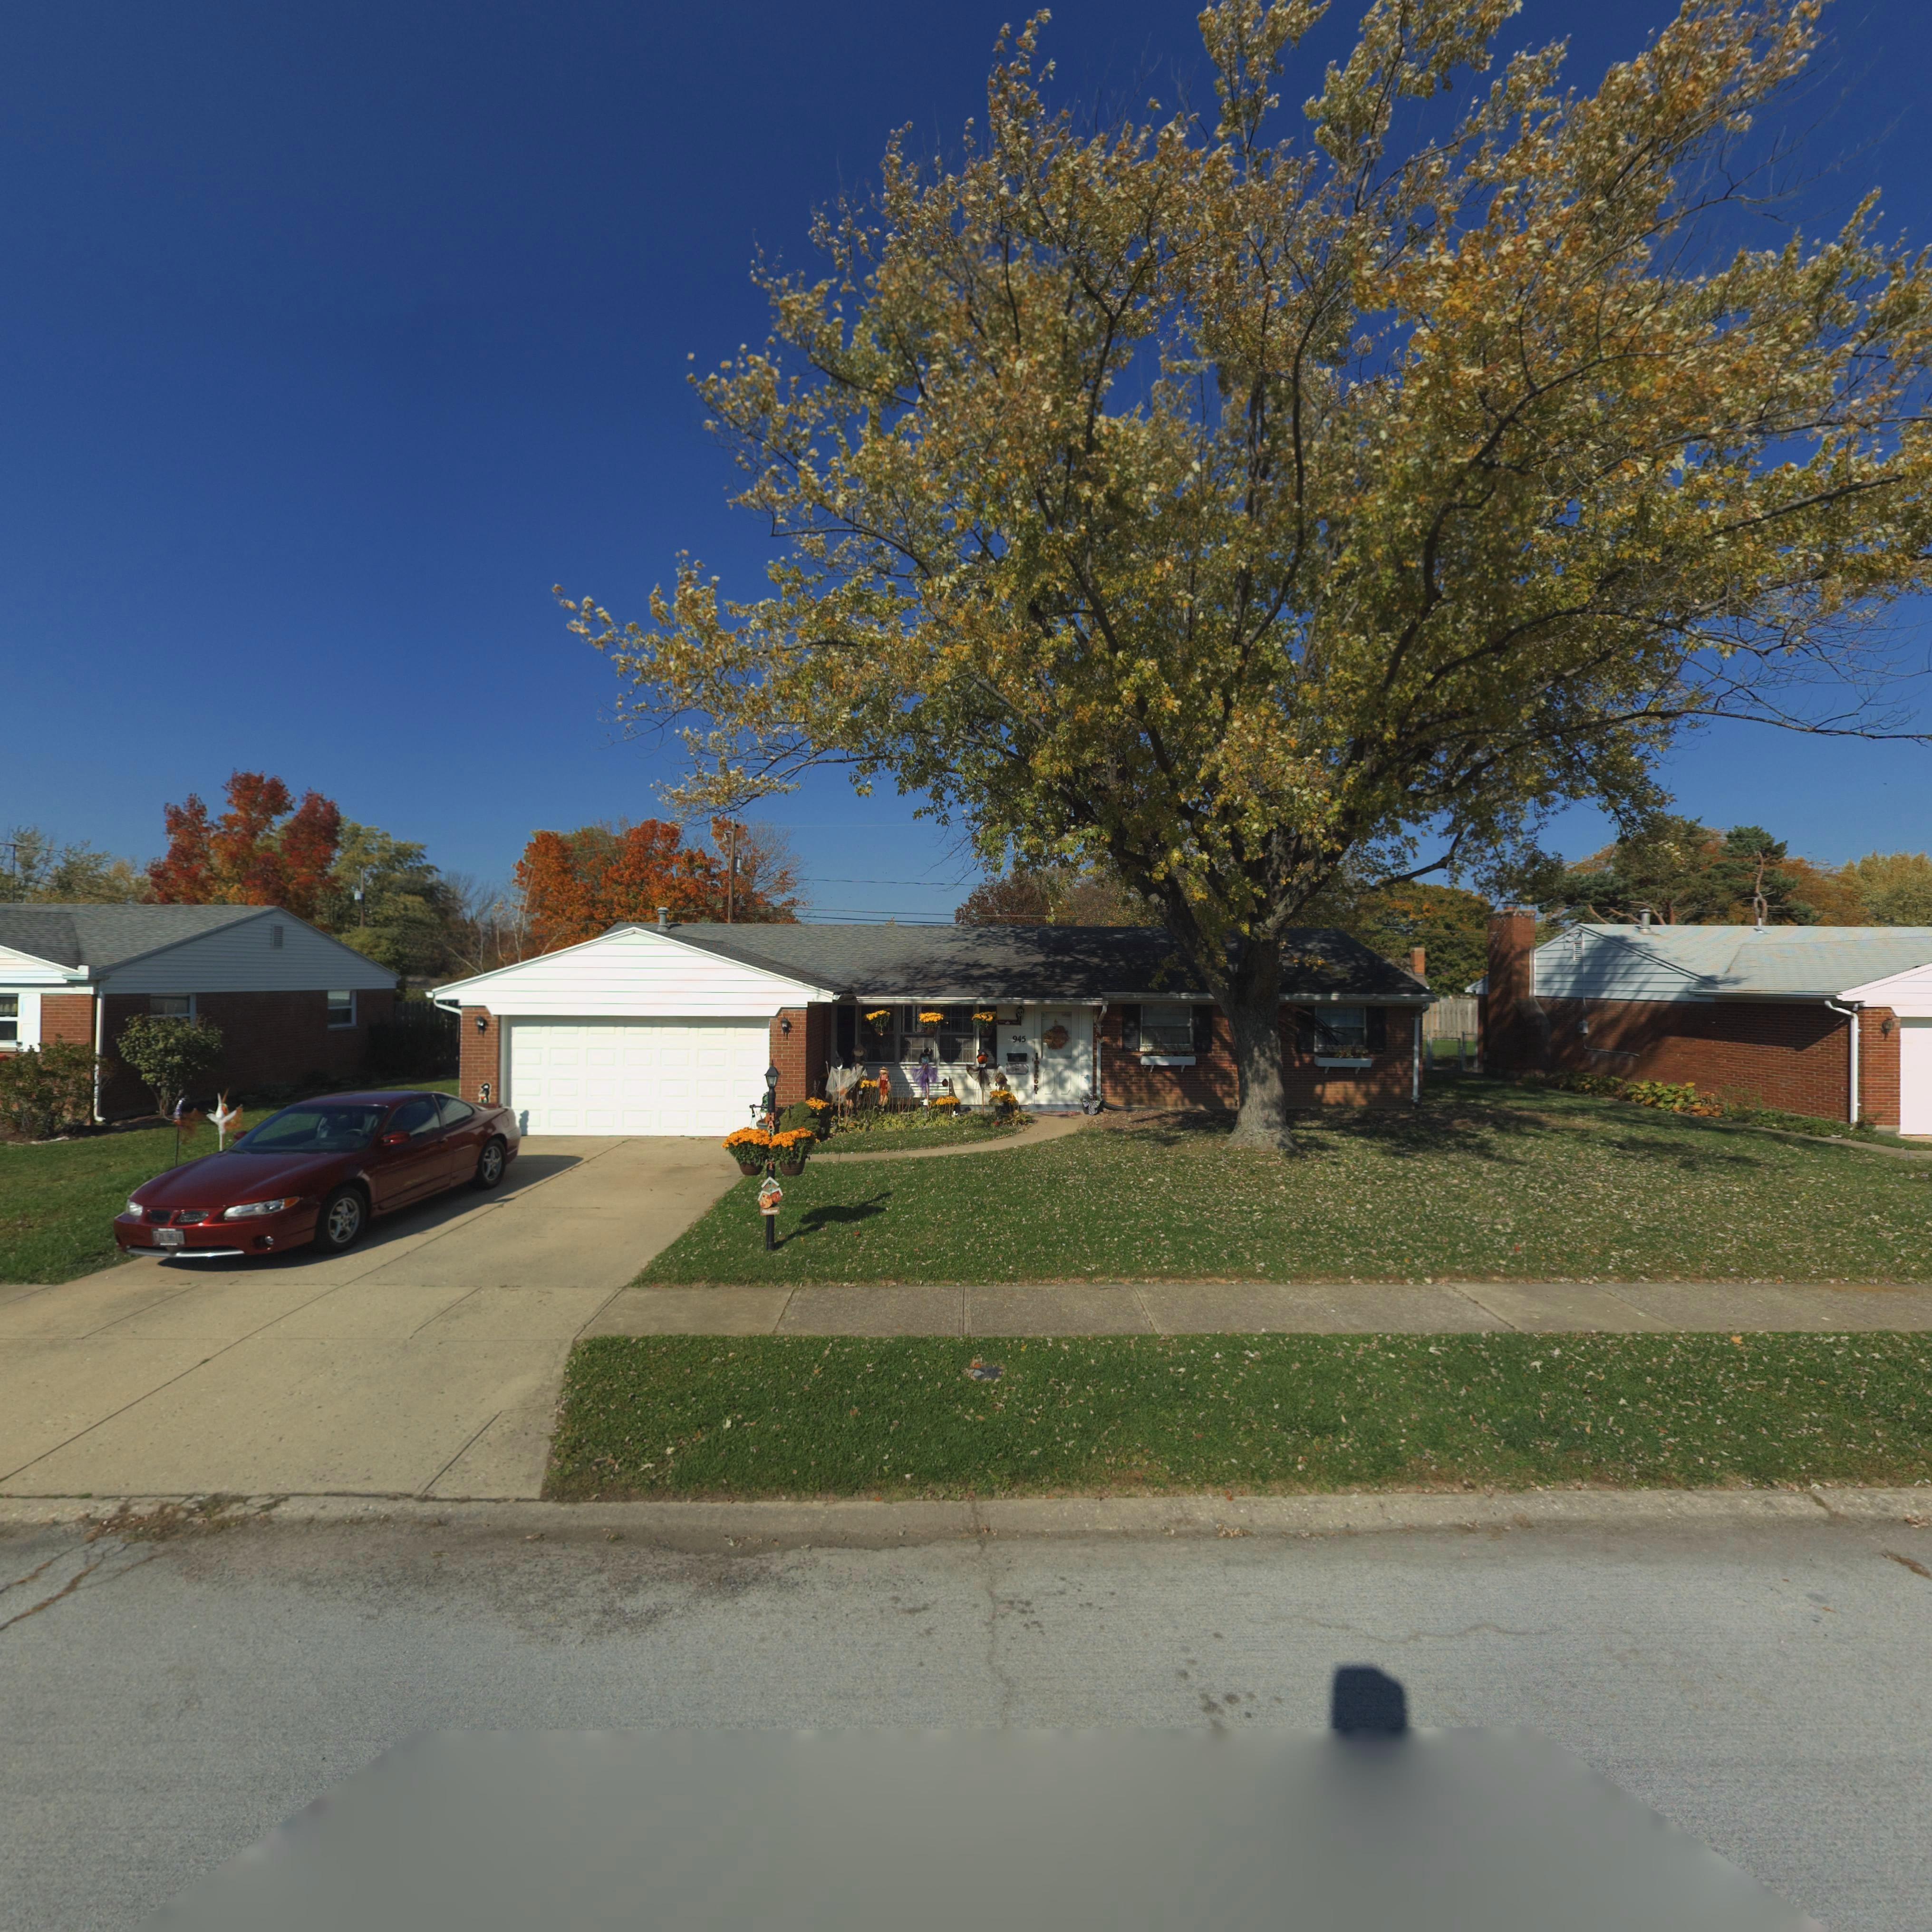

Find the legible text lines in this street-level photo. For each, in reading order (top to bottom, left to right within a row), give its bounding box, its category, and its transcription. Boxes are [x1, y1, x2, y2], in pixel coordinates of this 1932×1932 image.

[1012, 1034, 1027, 1044] StreetNumber: 945